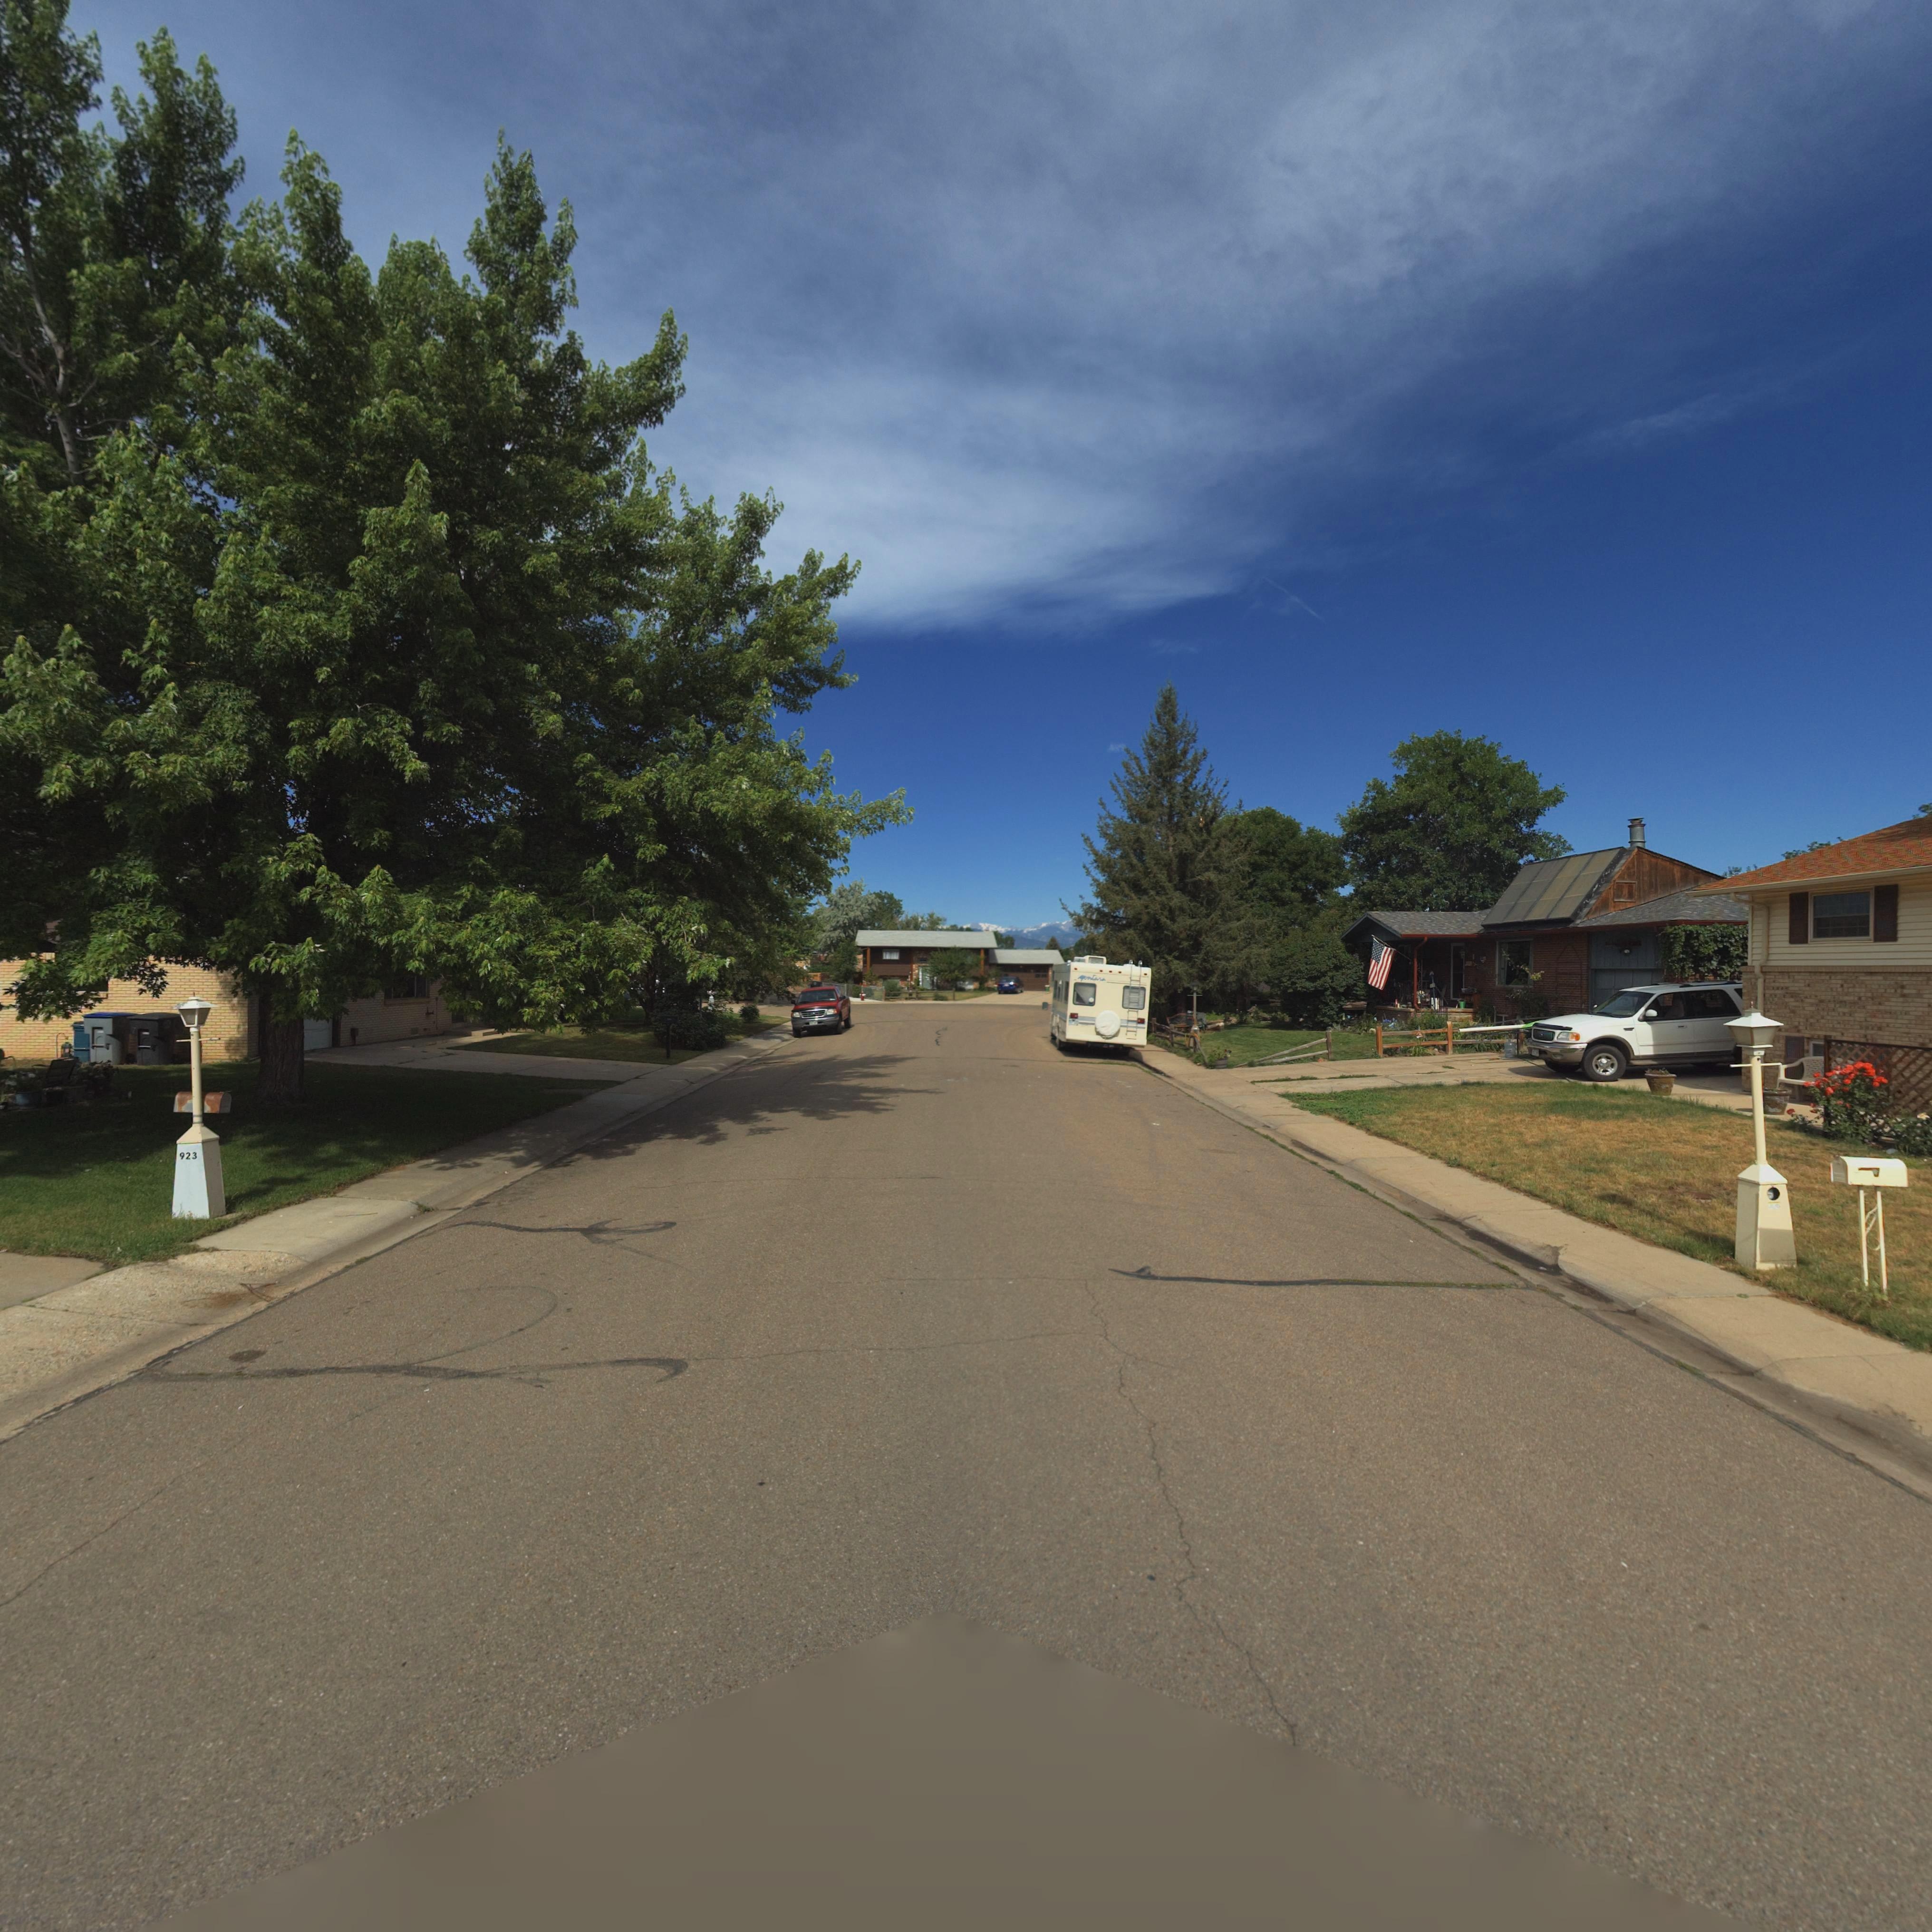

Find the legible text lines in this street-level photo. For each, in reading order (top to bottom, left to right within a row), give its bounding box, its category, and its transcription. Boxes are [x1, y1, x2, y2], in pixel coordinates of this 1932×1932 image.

[179, 1151, 197, 1159] StreetNumber: 923